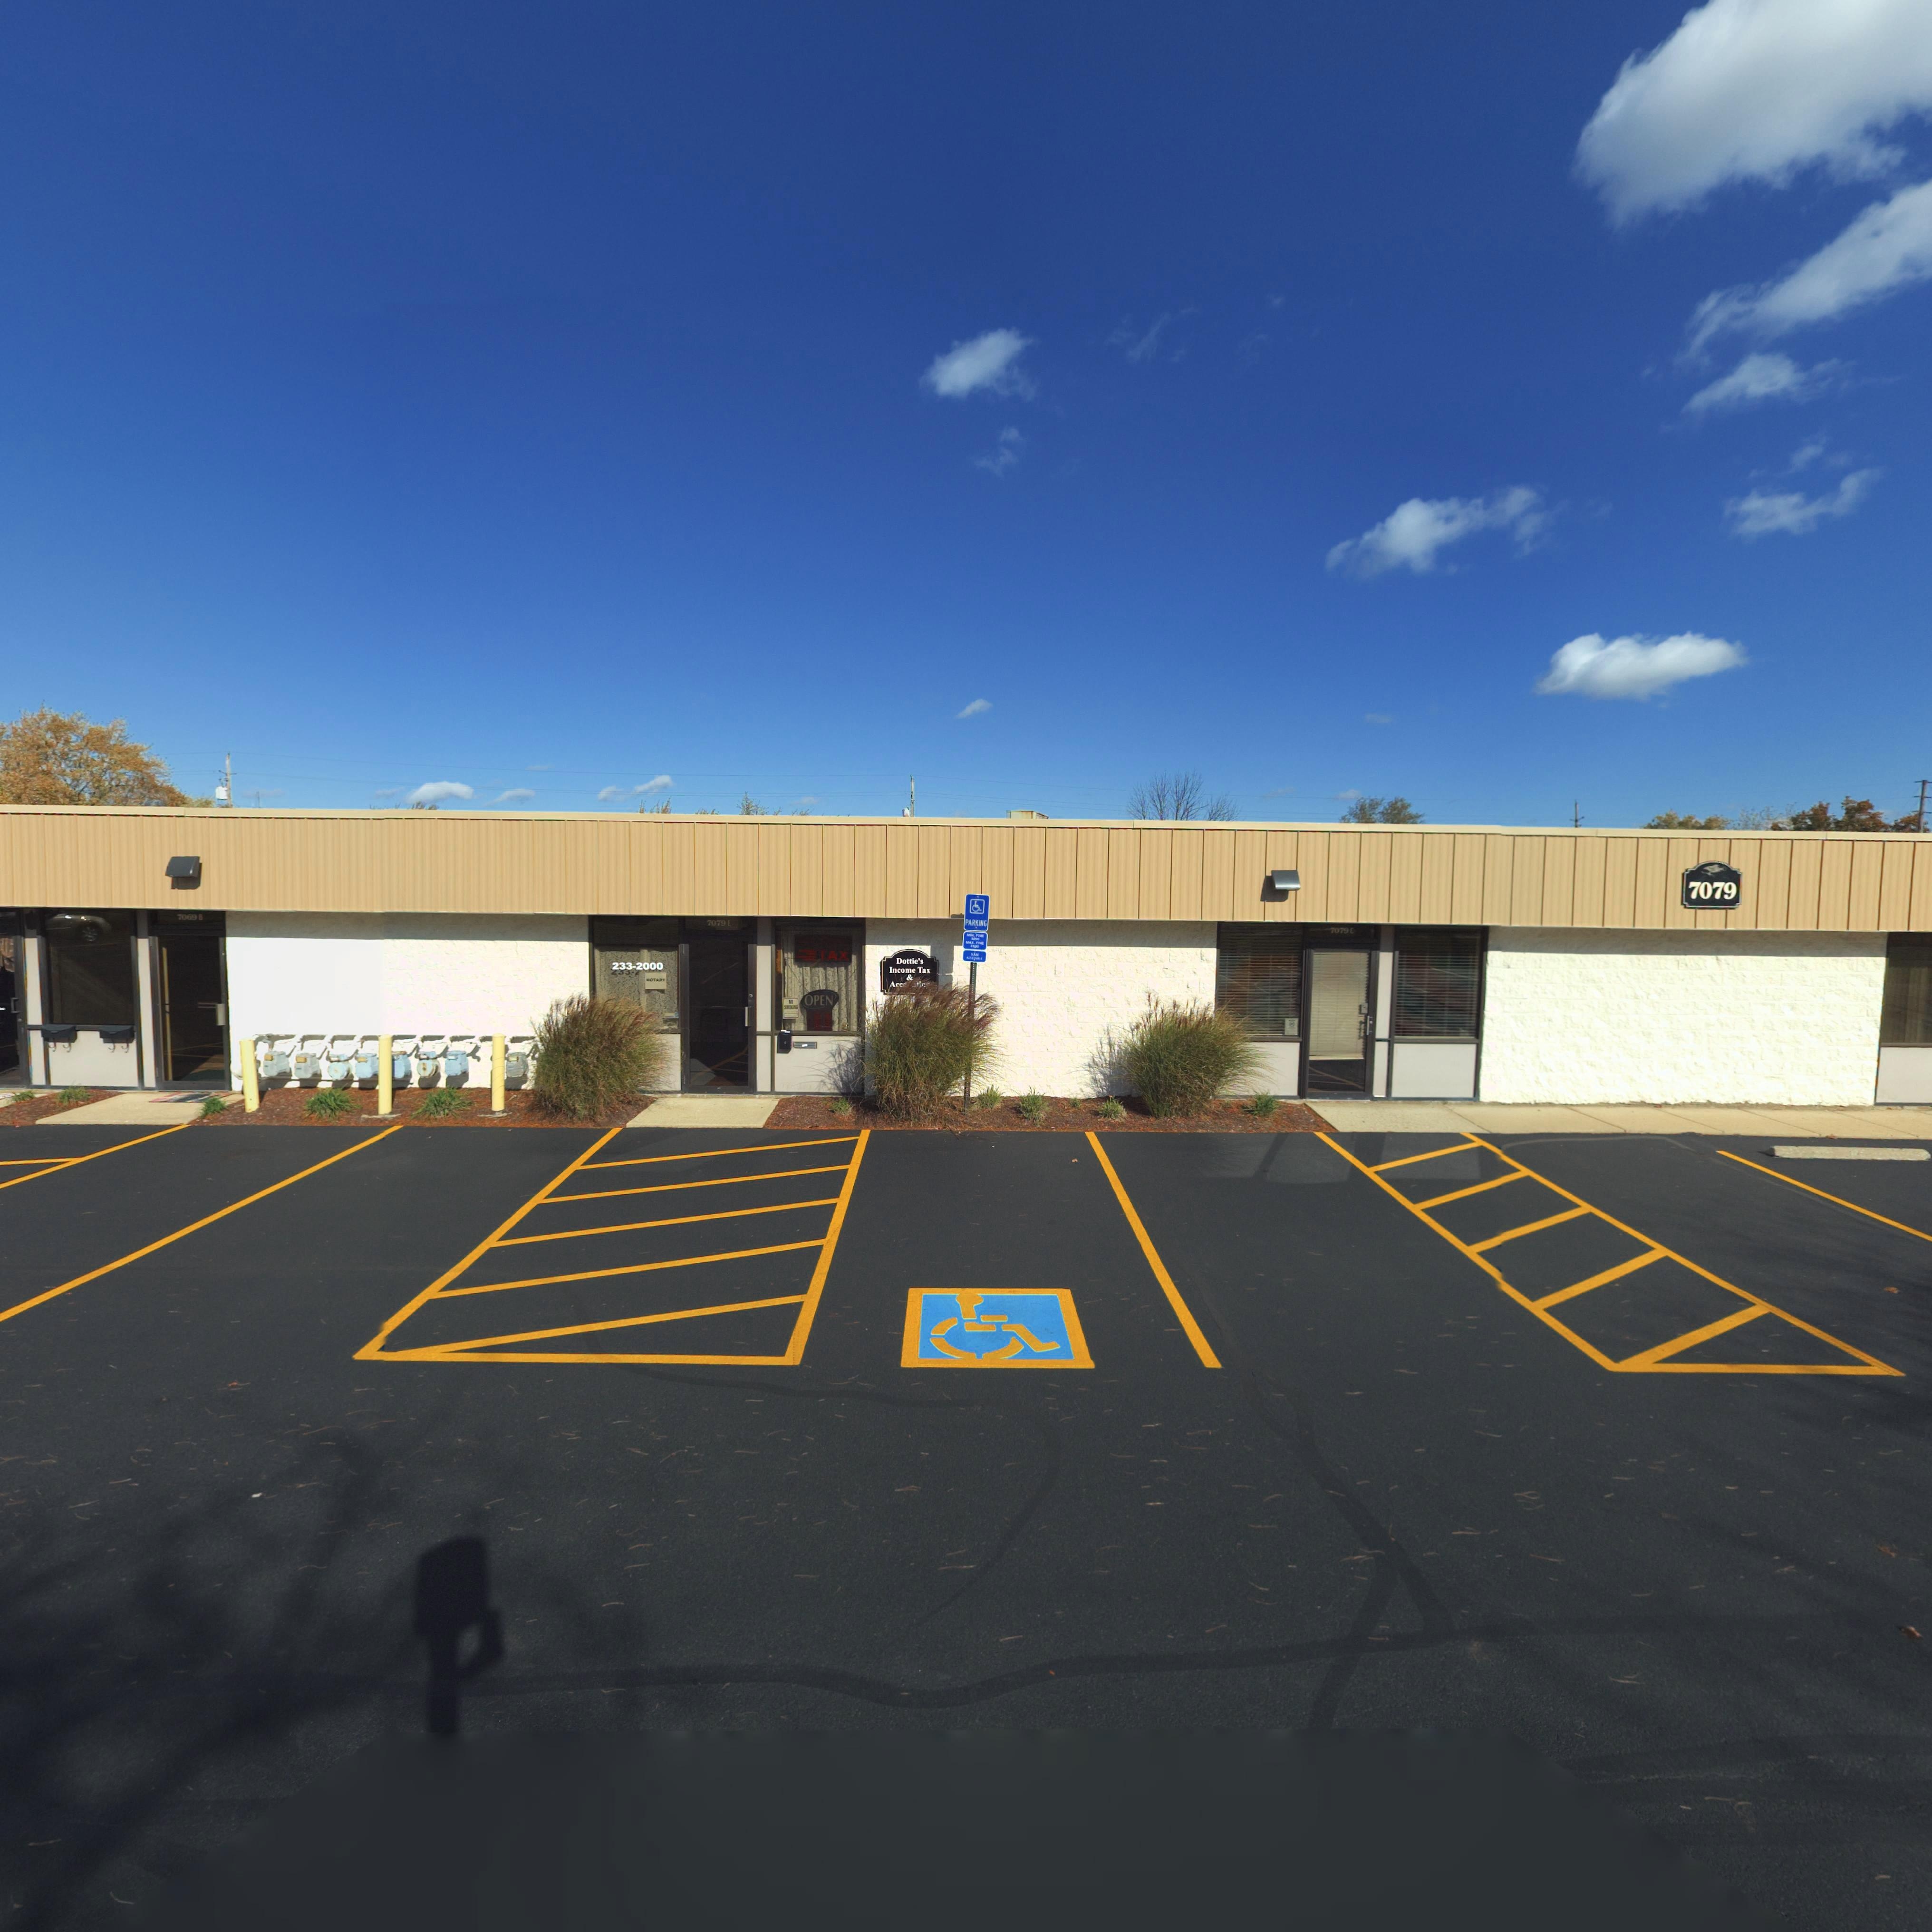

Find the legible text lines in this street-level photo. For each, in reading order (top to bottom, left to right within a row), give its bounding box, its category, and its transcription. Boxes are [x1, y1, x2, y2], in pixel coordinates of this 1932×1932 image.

[1687, 880, 1739, 901] StreetNumber: 7079
[175, 913, 204, 922] StreetNumber: 7069 B
[705, 918, 733, 928] StreetNumber: 7079 *
[1329, 926, 1355, 935] StreetNumber: 7079 C